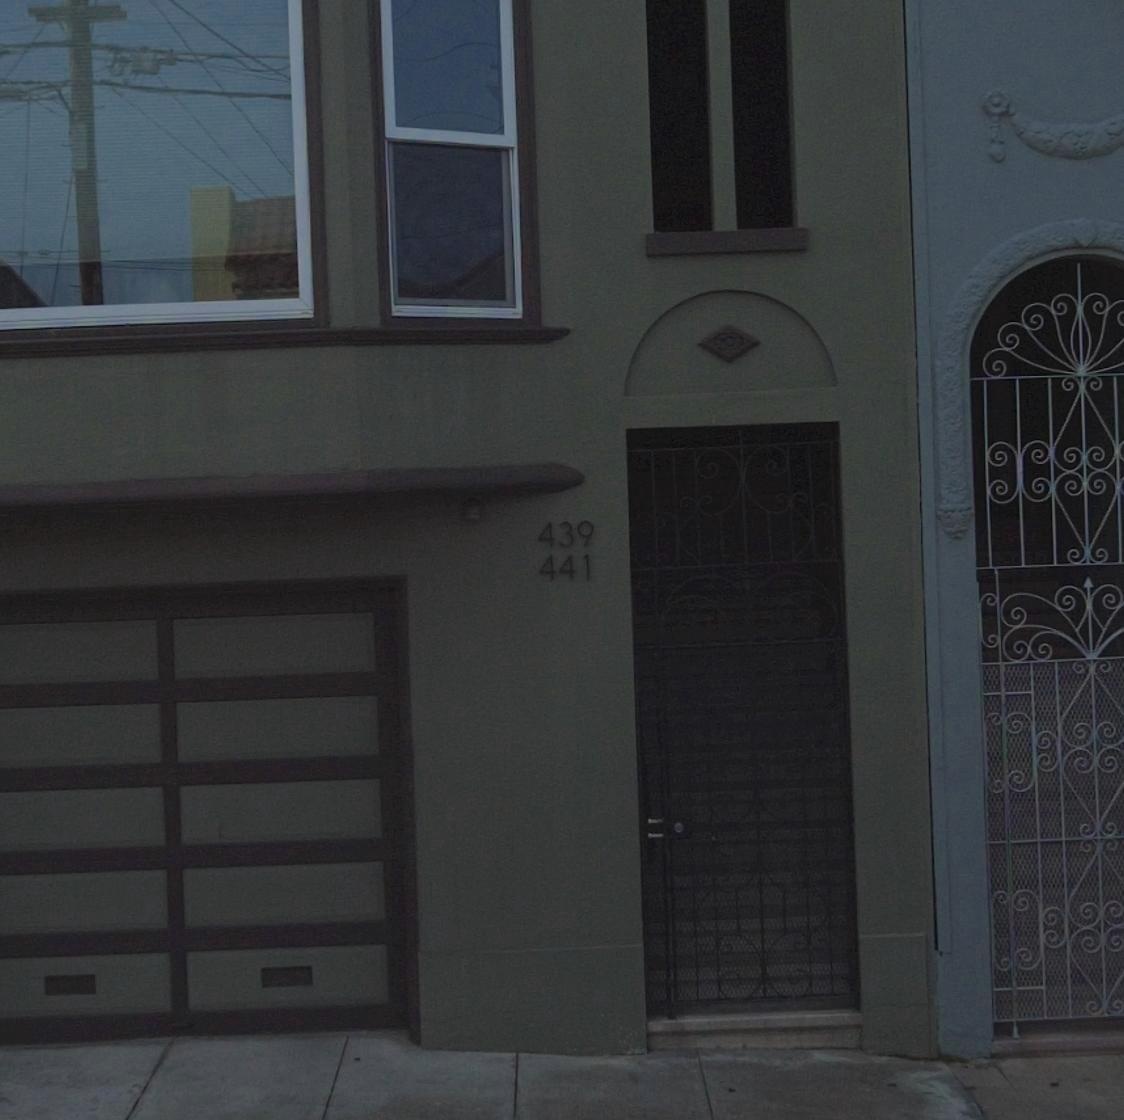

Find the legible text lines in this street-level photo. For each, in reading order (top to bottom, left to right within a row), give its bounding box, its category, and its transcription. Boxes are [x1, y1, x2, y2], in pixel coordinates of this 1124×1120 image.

[536, 519, 595, 549] StreetNumber: 439
[537, 551, 593, 583] StreetNumber: 441